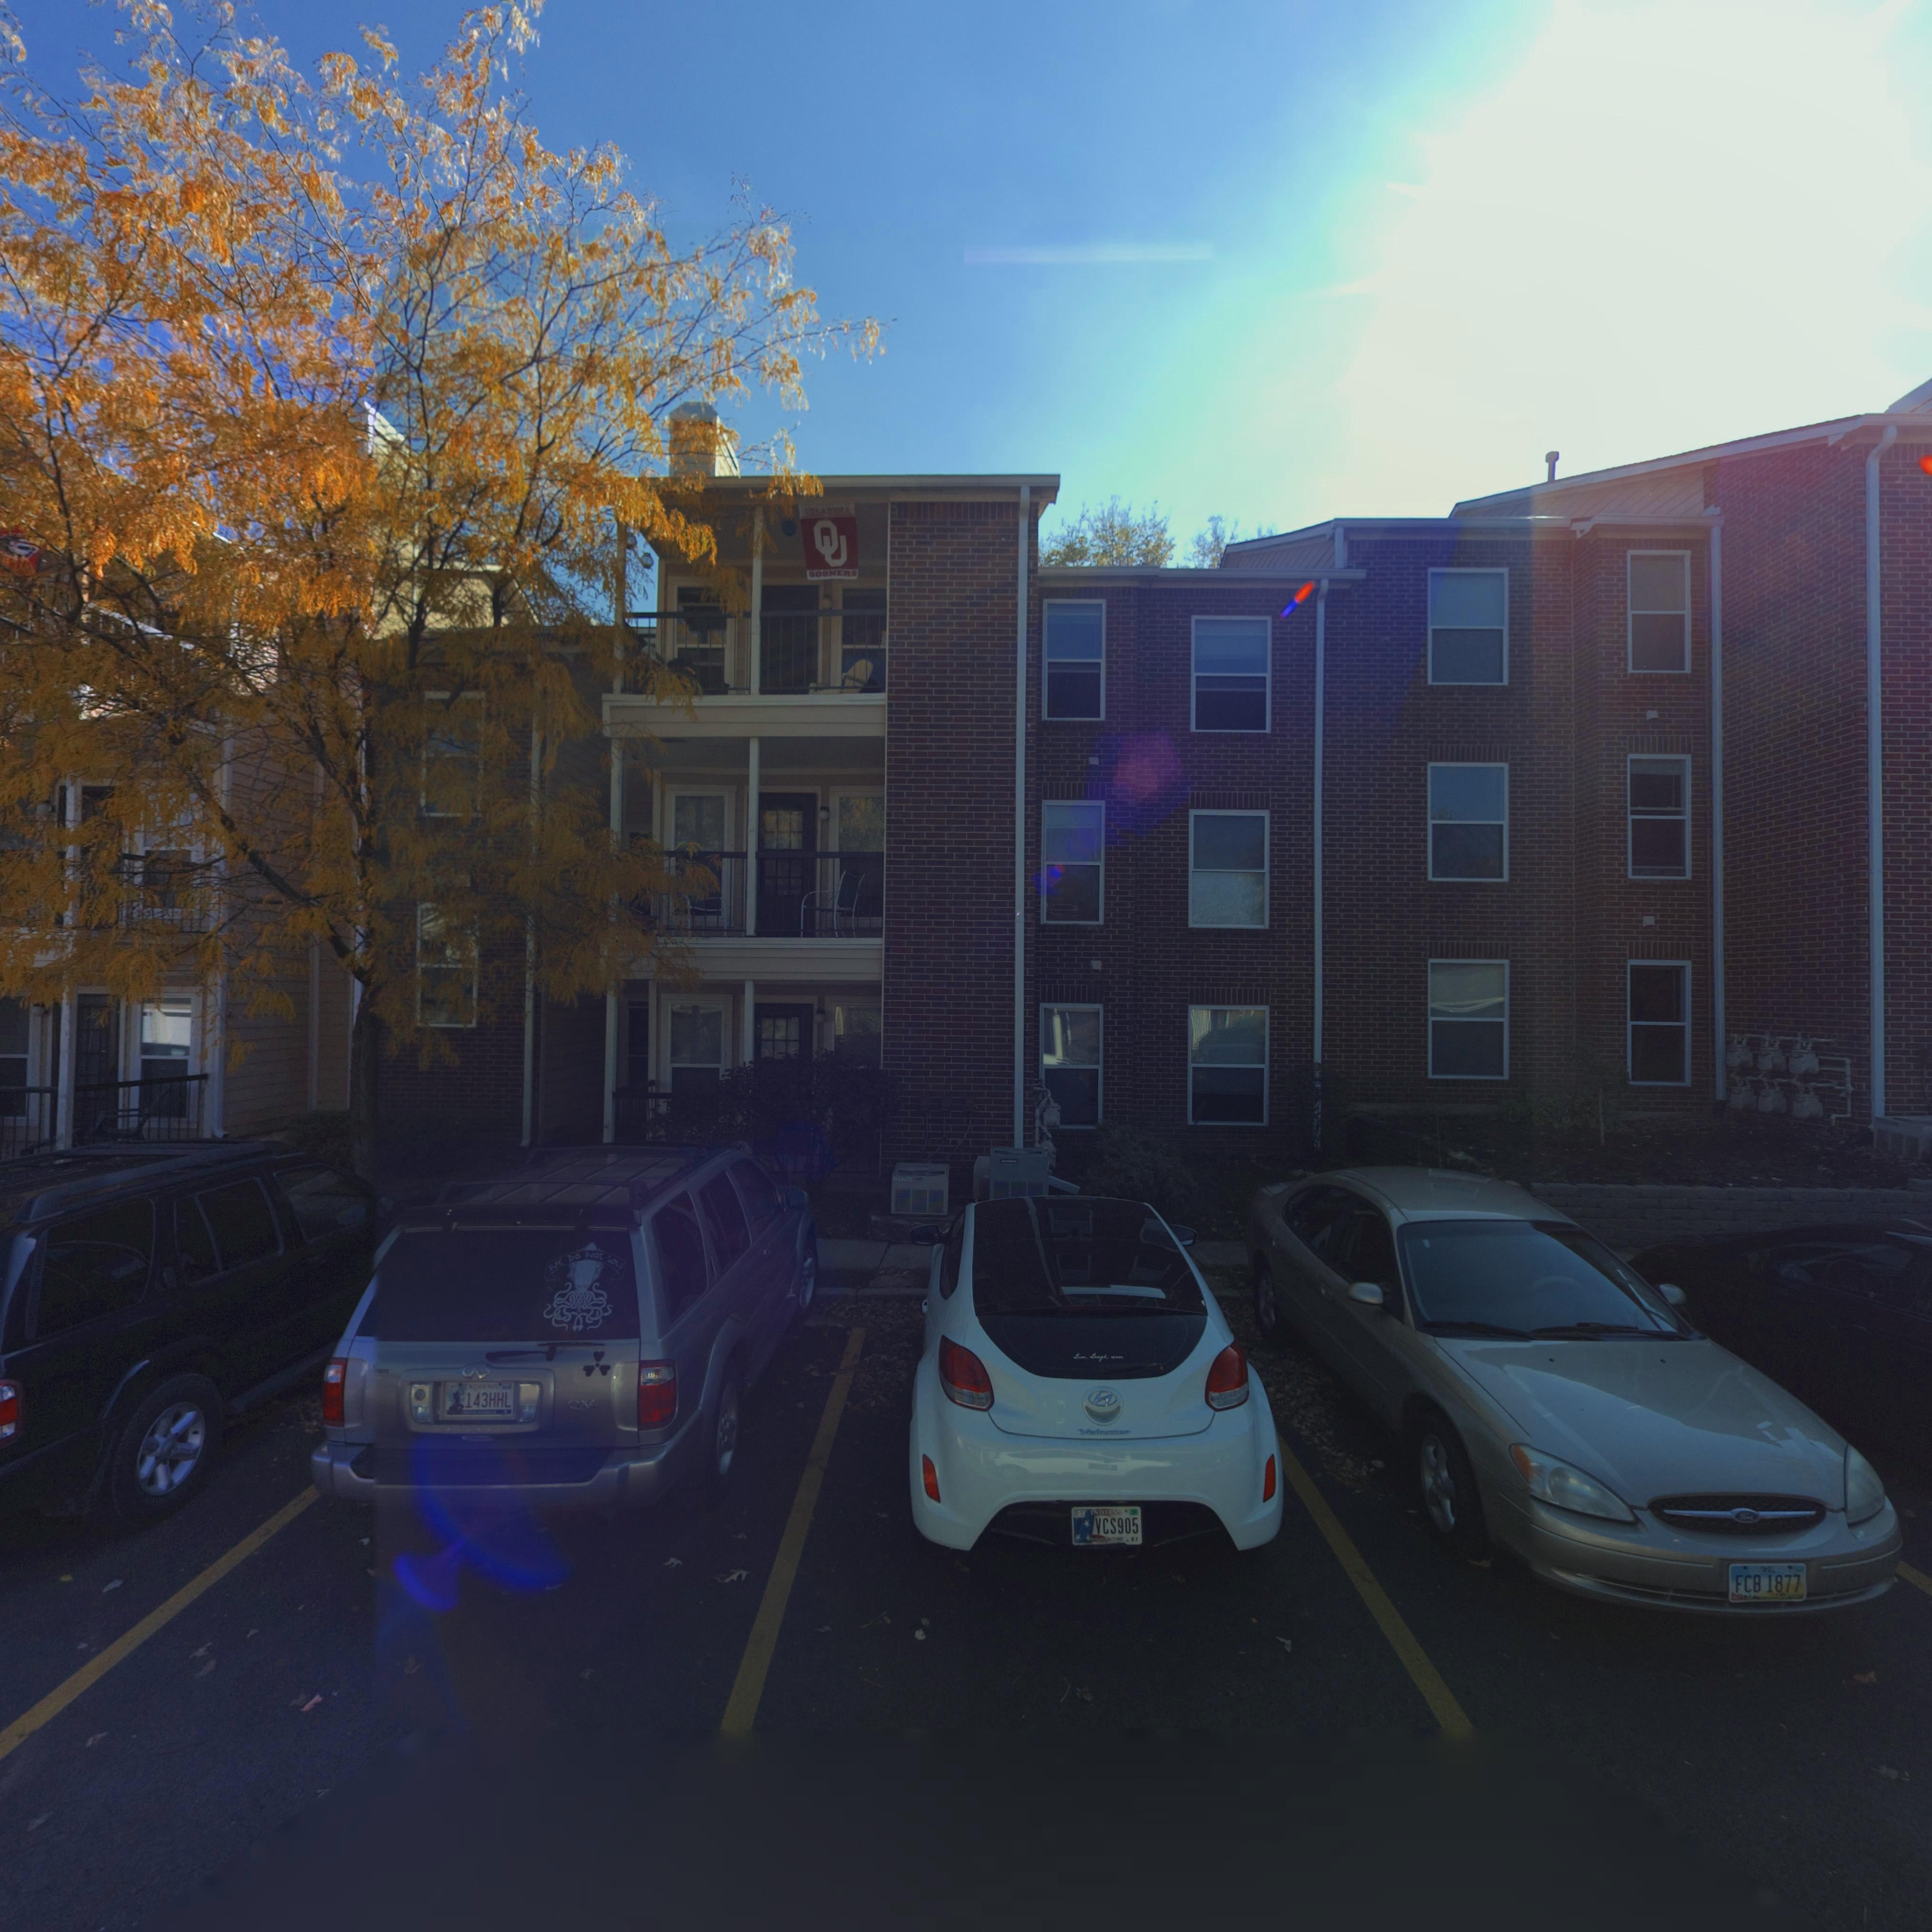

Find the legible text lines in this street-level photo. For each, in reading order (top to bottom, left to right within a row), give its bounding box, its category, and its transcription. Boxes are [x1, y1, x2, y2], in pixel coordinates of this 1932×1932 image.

[807, 569, 859, 579] None: SOONERS
[463, 1390, 513, 1409] None: 143HHL
[567, 1398, 599, 1411] None: QX4
[1094, 1516, 1140, 1536] None: VCS905
[1733, 1572, 1805, 1595] None: FCB 1877